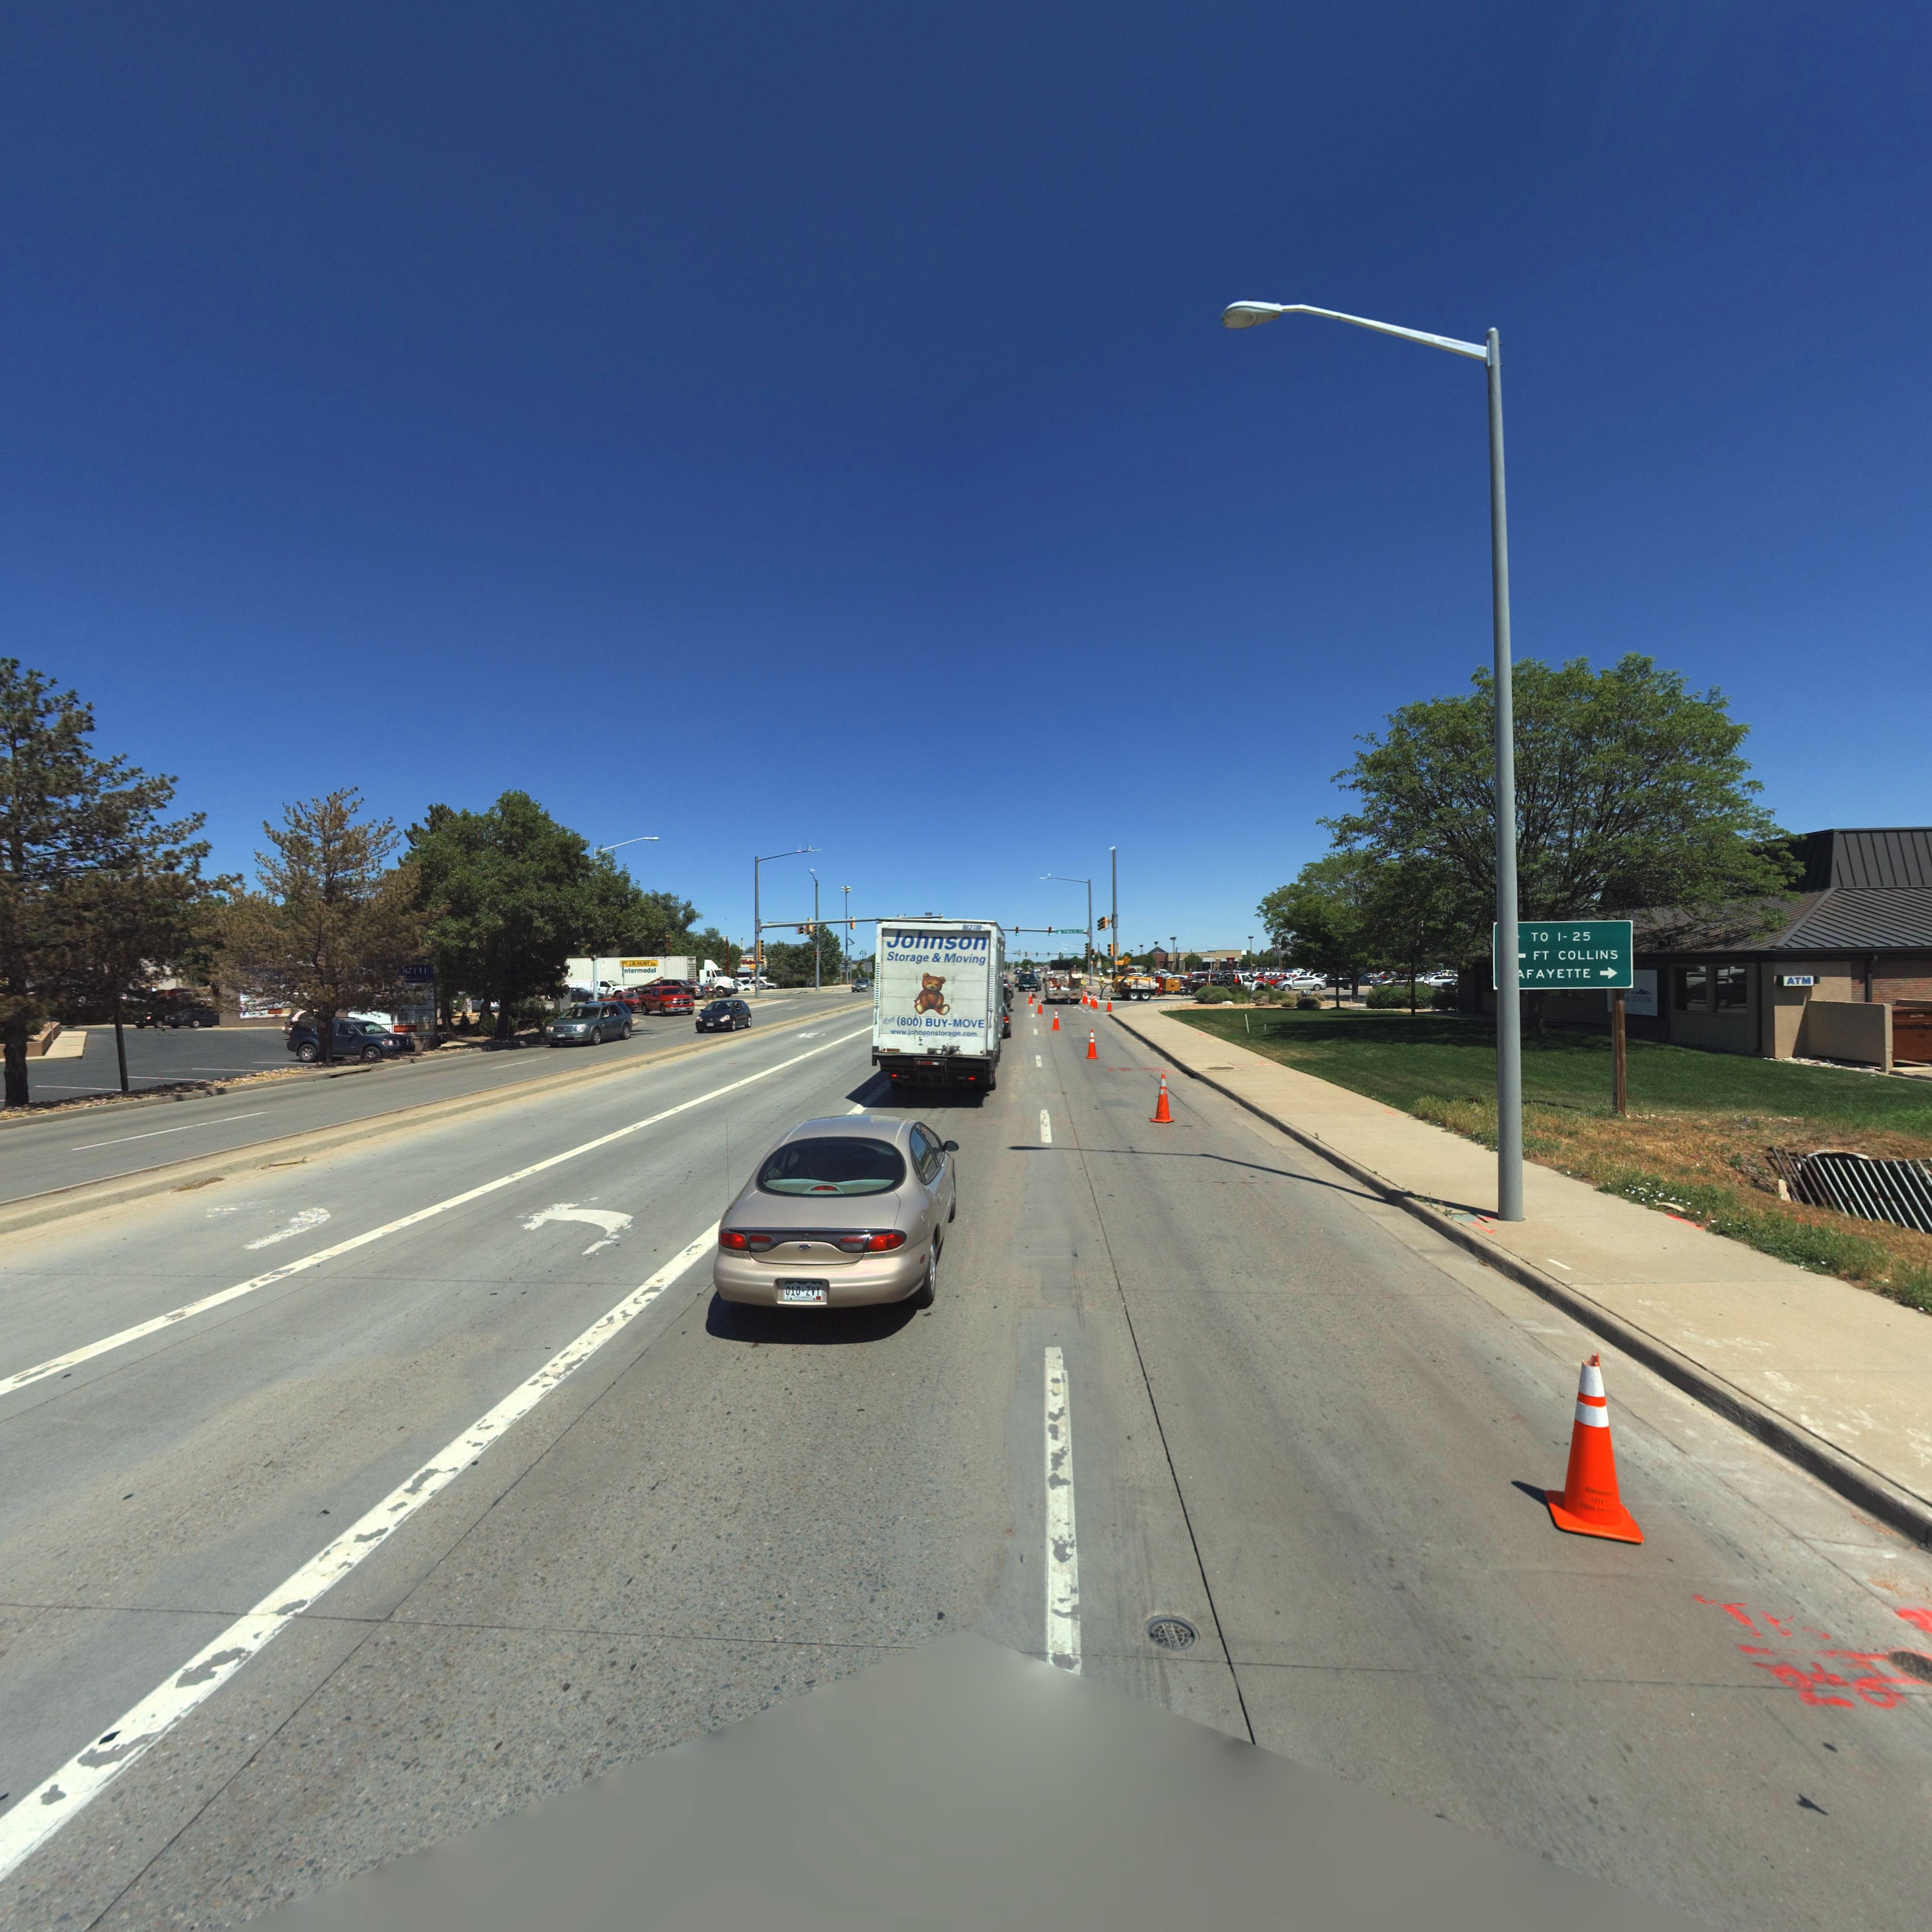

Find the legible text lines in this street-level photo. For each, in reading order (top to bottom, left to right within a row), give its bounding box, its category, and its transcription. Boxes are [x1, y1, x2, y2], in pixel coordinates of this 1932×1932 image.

[1063, 929, 1077, 933] StreetName: S **** S*
[741, 959, 763, 965] BusinessName: *al******
[388, 967, 427, 976] BusinessName: **RTH
[394, 1026, 416, 1031] BusinessName: *ELL*****O